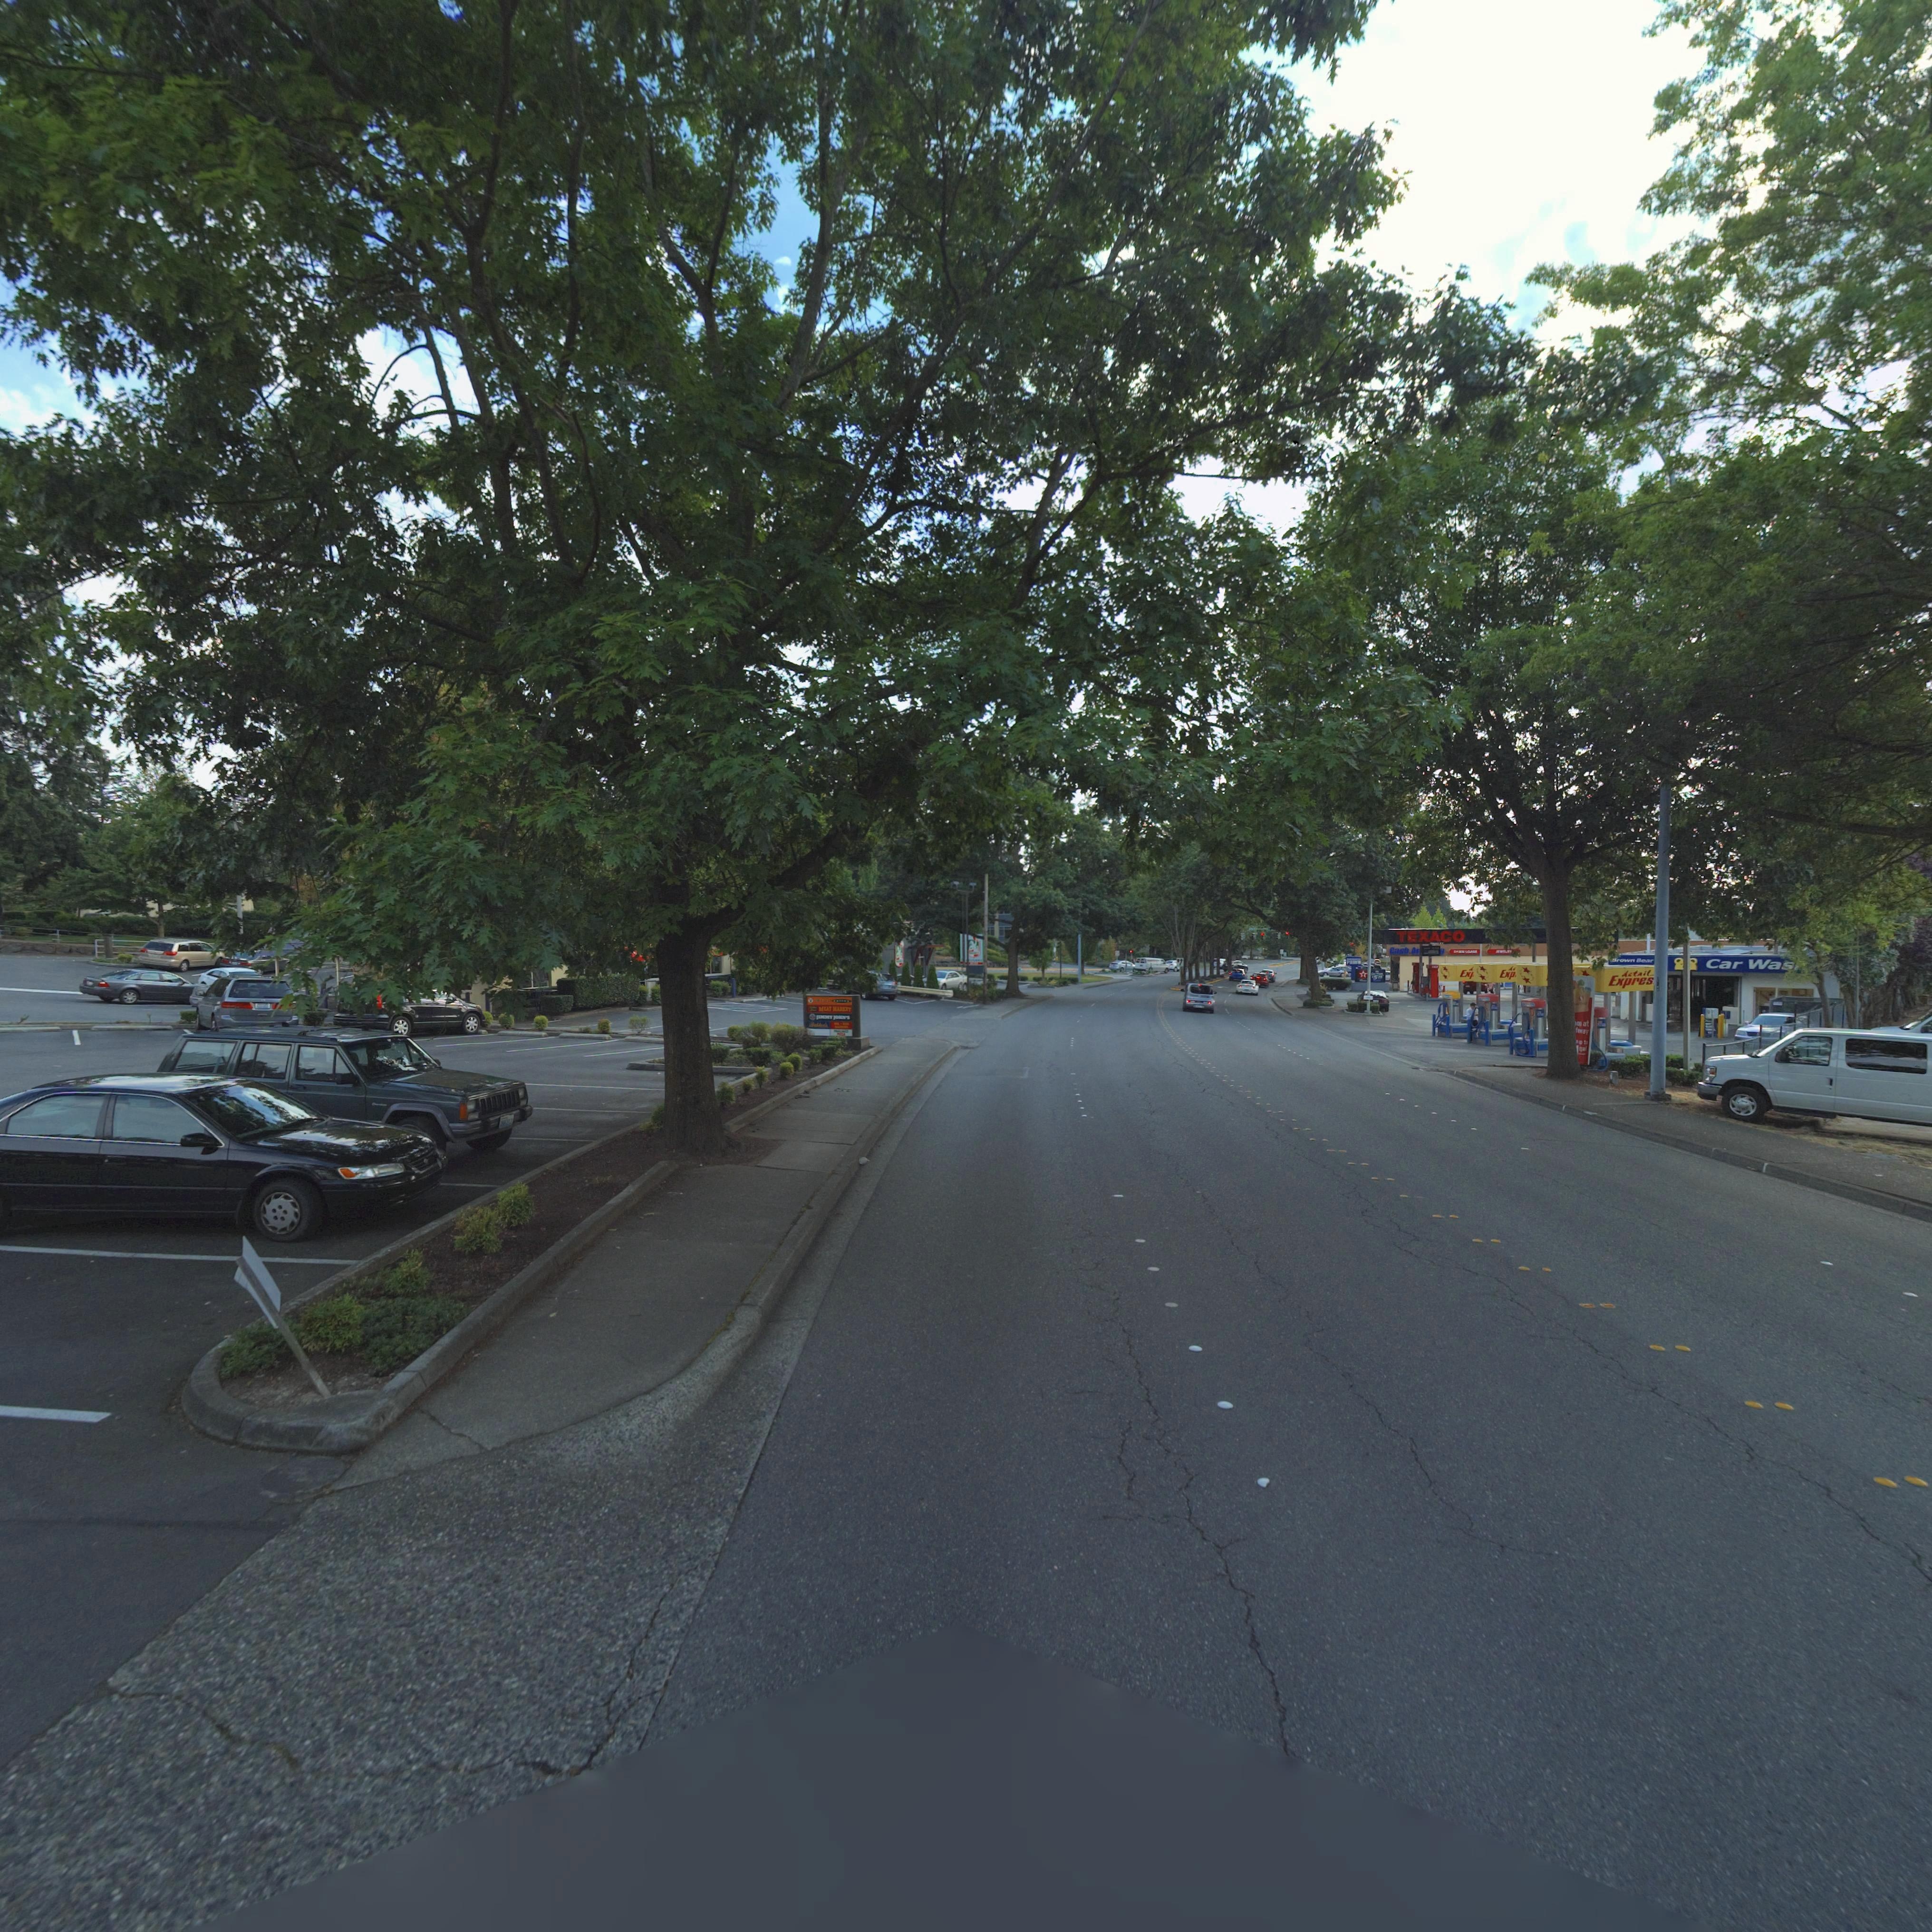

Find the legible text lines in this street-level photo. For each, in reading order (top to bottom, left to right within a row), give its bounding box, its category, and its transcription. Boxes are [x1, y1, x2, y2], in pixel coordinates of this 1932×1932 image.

[1397, 930, 1464, 942] BusinessName: TEXACO
[1390, 946, 1409, 955] BusinessName: Cash
[1346, 959, 1361, 965] BusinessName: PAWN
[1611, 957, 1653, 963] BusinessName: *rown B*ar
[1705, 958, 1800, 970] BusinessName: Car Was*
[1607, 969, 1653, 989] BusinessName: detail Expres
[819, 1005, 853, 1012] BusinessName: MEAT MAR**T
[816, 1014, 850, 1020] BusinessName: J*MMY JO*N*S